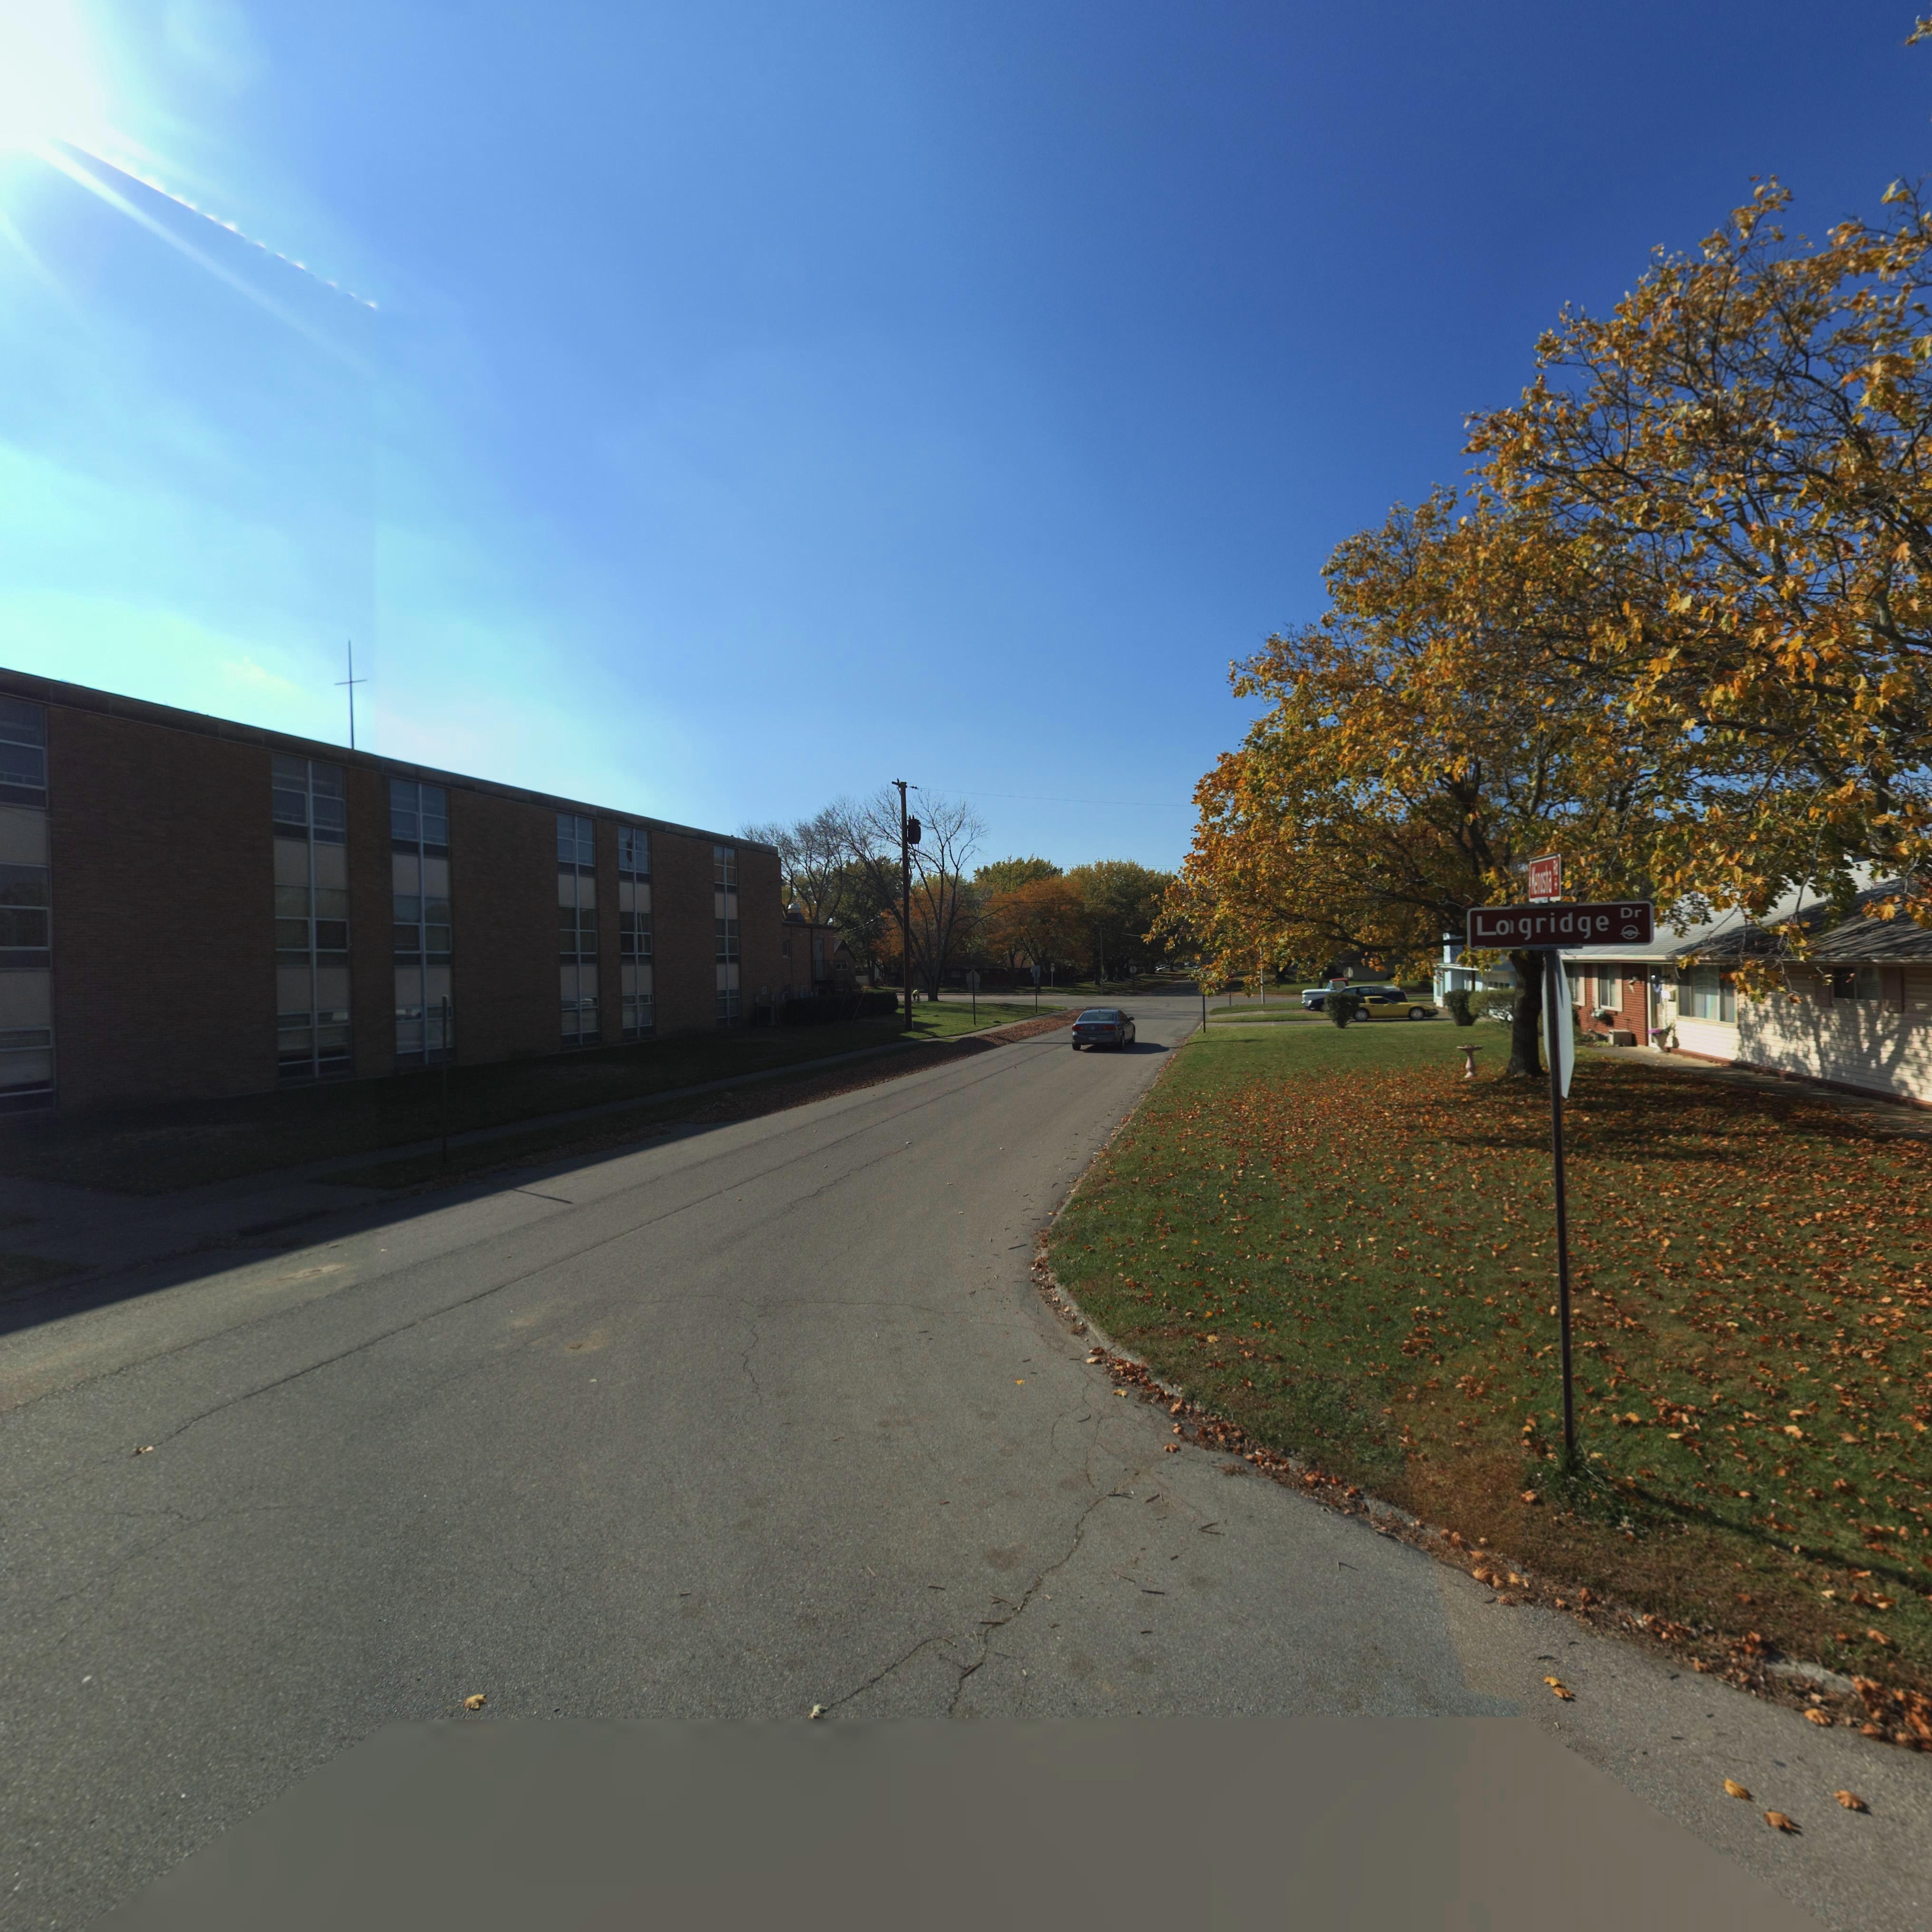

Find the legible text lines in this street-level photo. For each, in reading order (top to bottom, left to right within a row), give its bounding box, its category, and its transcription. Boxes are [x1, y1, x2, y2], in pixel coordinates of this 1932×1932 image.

[1530, 859, 1559, 895] StreetName: Kenosha Rd
[1475, 907, 1643, 941] StreetName: Lo*gridge Dr